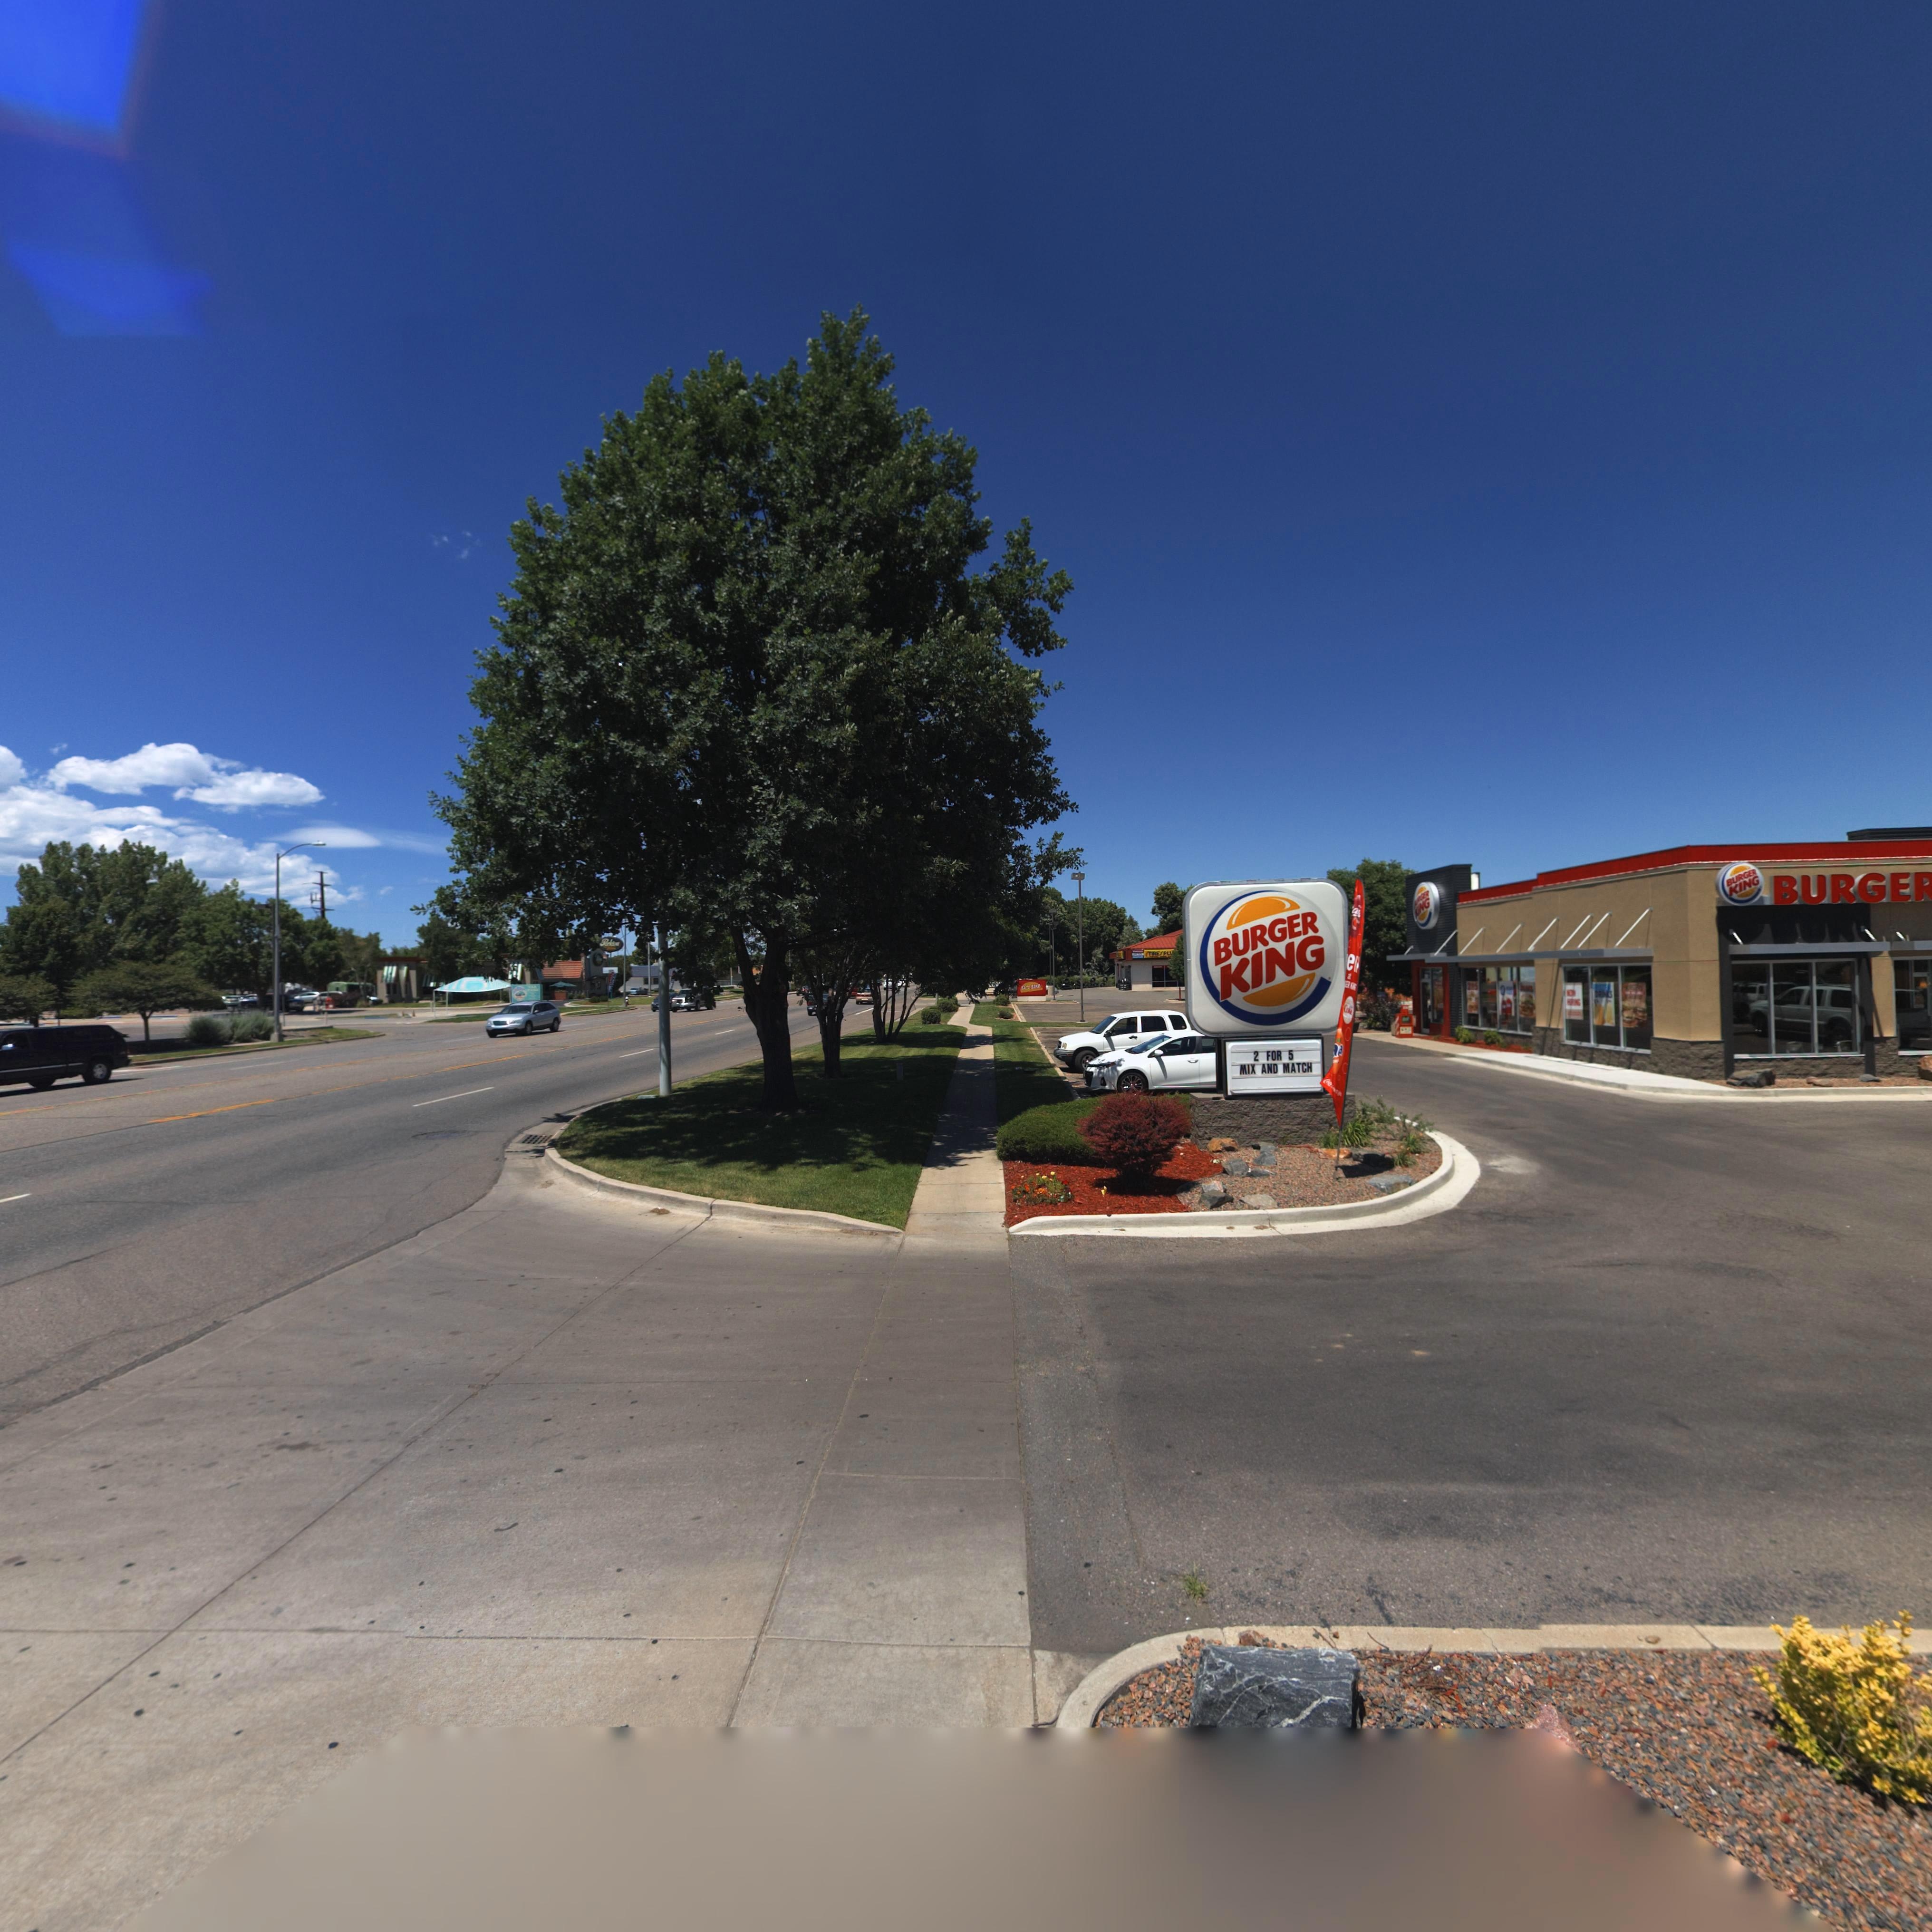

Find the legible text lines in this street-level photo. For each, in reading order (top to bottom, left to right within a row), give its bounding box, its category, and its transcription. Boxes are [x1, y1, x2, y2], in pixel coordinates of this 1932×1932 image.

[1413, 889, 1430, 909] BusinessName: ***GER
[1414, 897, 1430, 919] BusinessName: KING
[1726, 869, 1757, 888] BusinessName: BURGER
[1727, 874, 1760, 897] BusinessName: KING
[1772, 871, 1911, 905] BusinessName: BURGER
[599, 938, 619, 947] BusinessName: Per***
[1148, 951, 1171, 956] BusinessName: TIRES PL*
[1213, 910, 1320, 967] BusinessName: BURGER
[1219, 934, 1325, 1004] BusinessName: KING
[1021, 984, 1040, 991] BusinessName: TACOSTAR